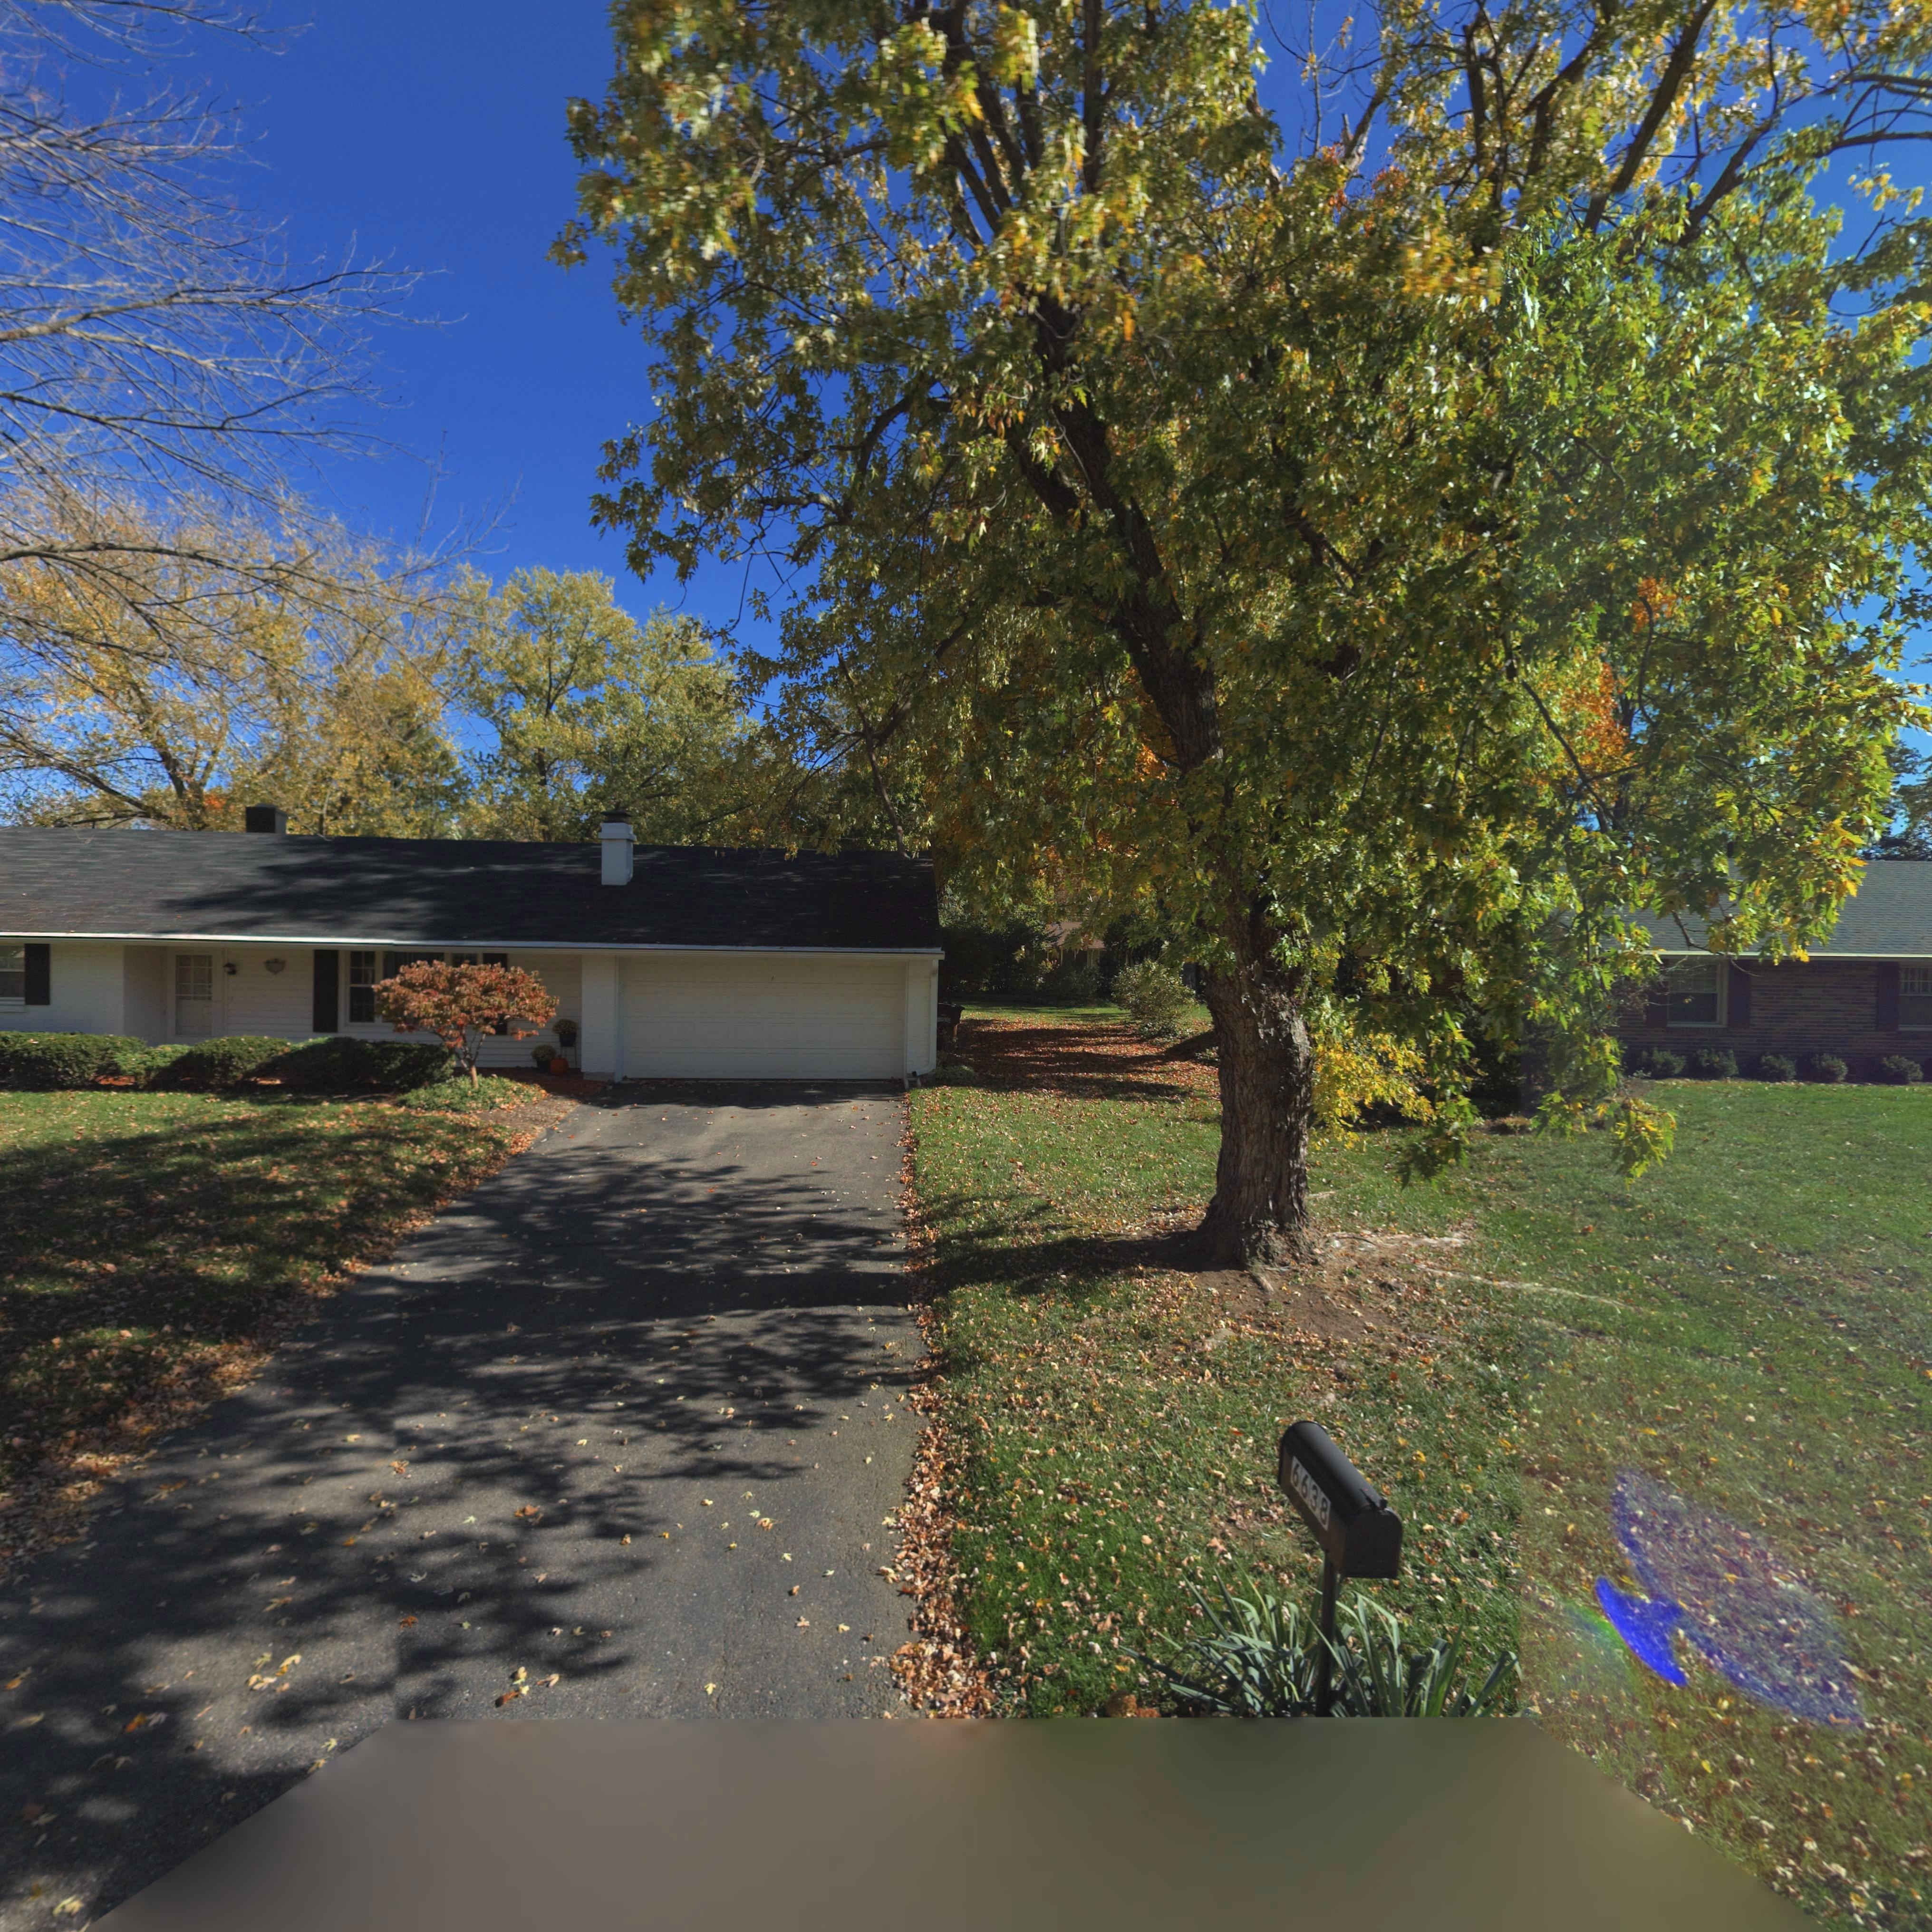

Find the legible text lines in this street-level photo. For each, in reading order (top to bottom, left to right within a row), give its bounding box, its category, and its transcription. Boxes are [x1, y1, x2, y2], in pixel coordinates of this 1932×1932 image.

[1292, 1461, 1330, 1527] StreetNumber: 6638